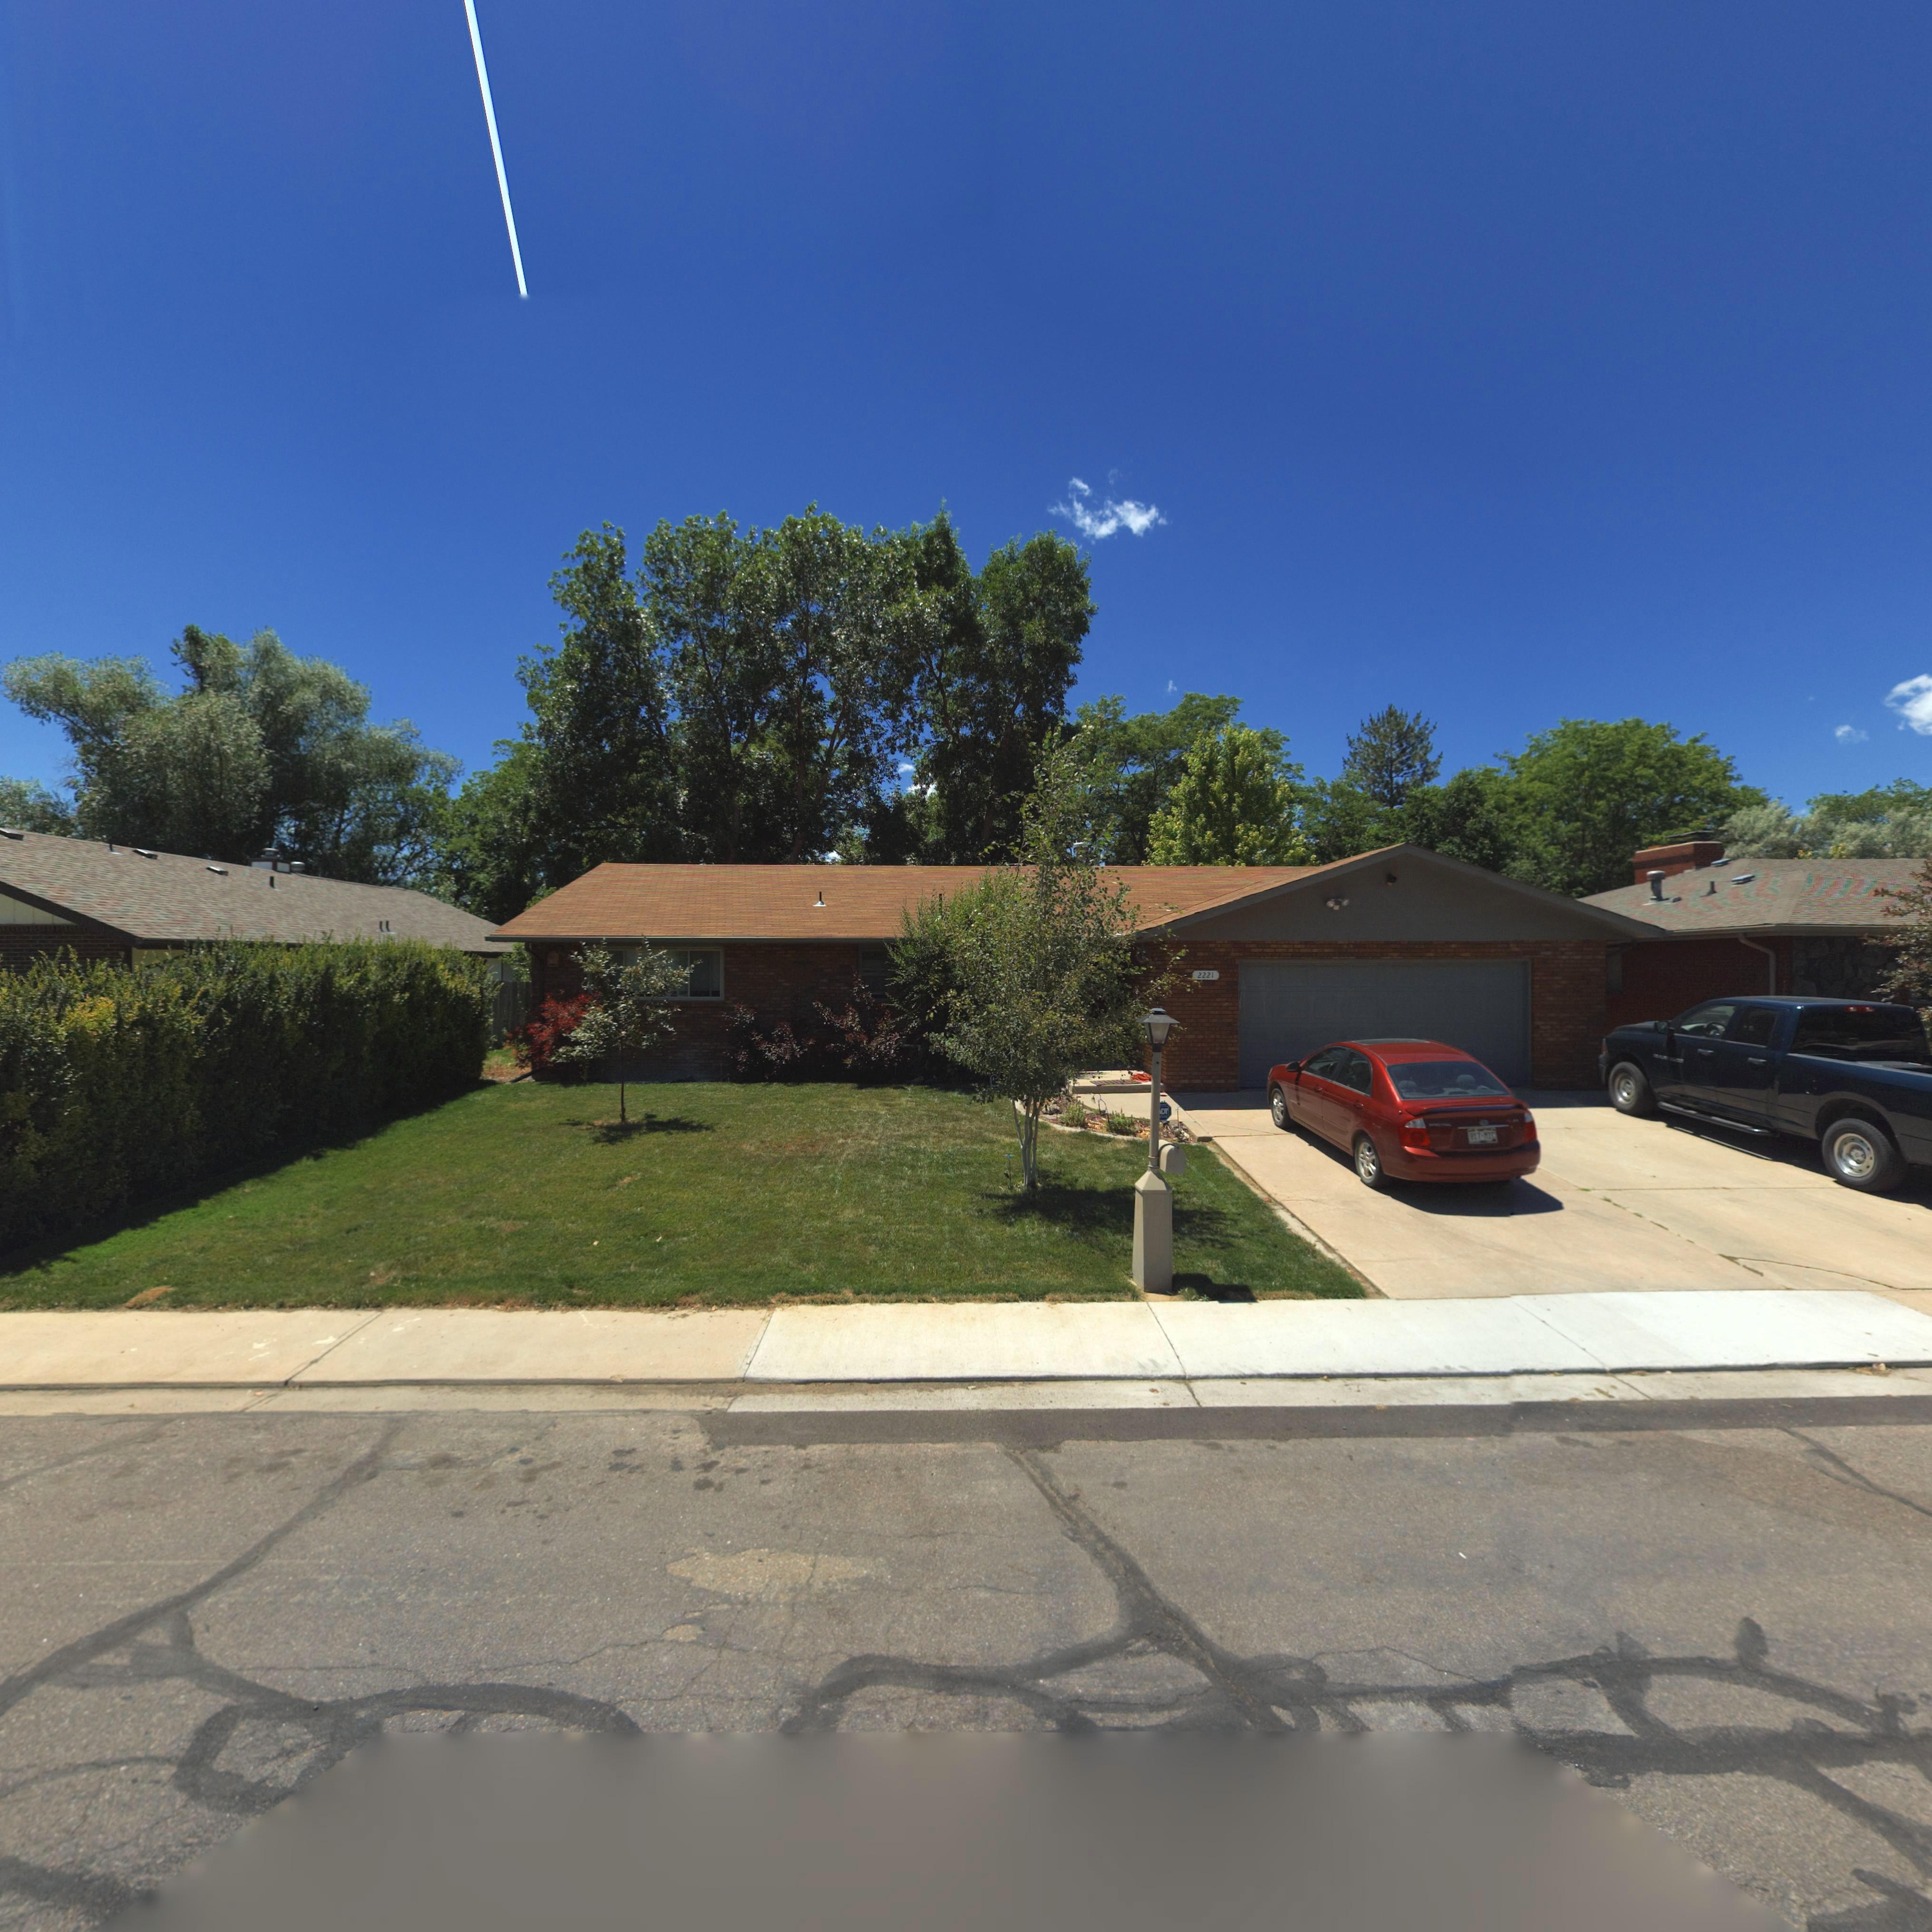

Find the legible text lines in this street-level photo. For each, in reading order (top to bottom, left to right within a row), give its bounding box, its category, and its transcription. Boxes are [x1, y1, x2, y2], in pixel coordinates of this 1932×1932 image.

[1197, 971, 1213, 978] StreetNumber: 2221